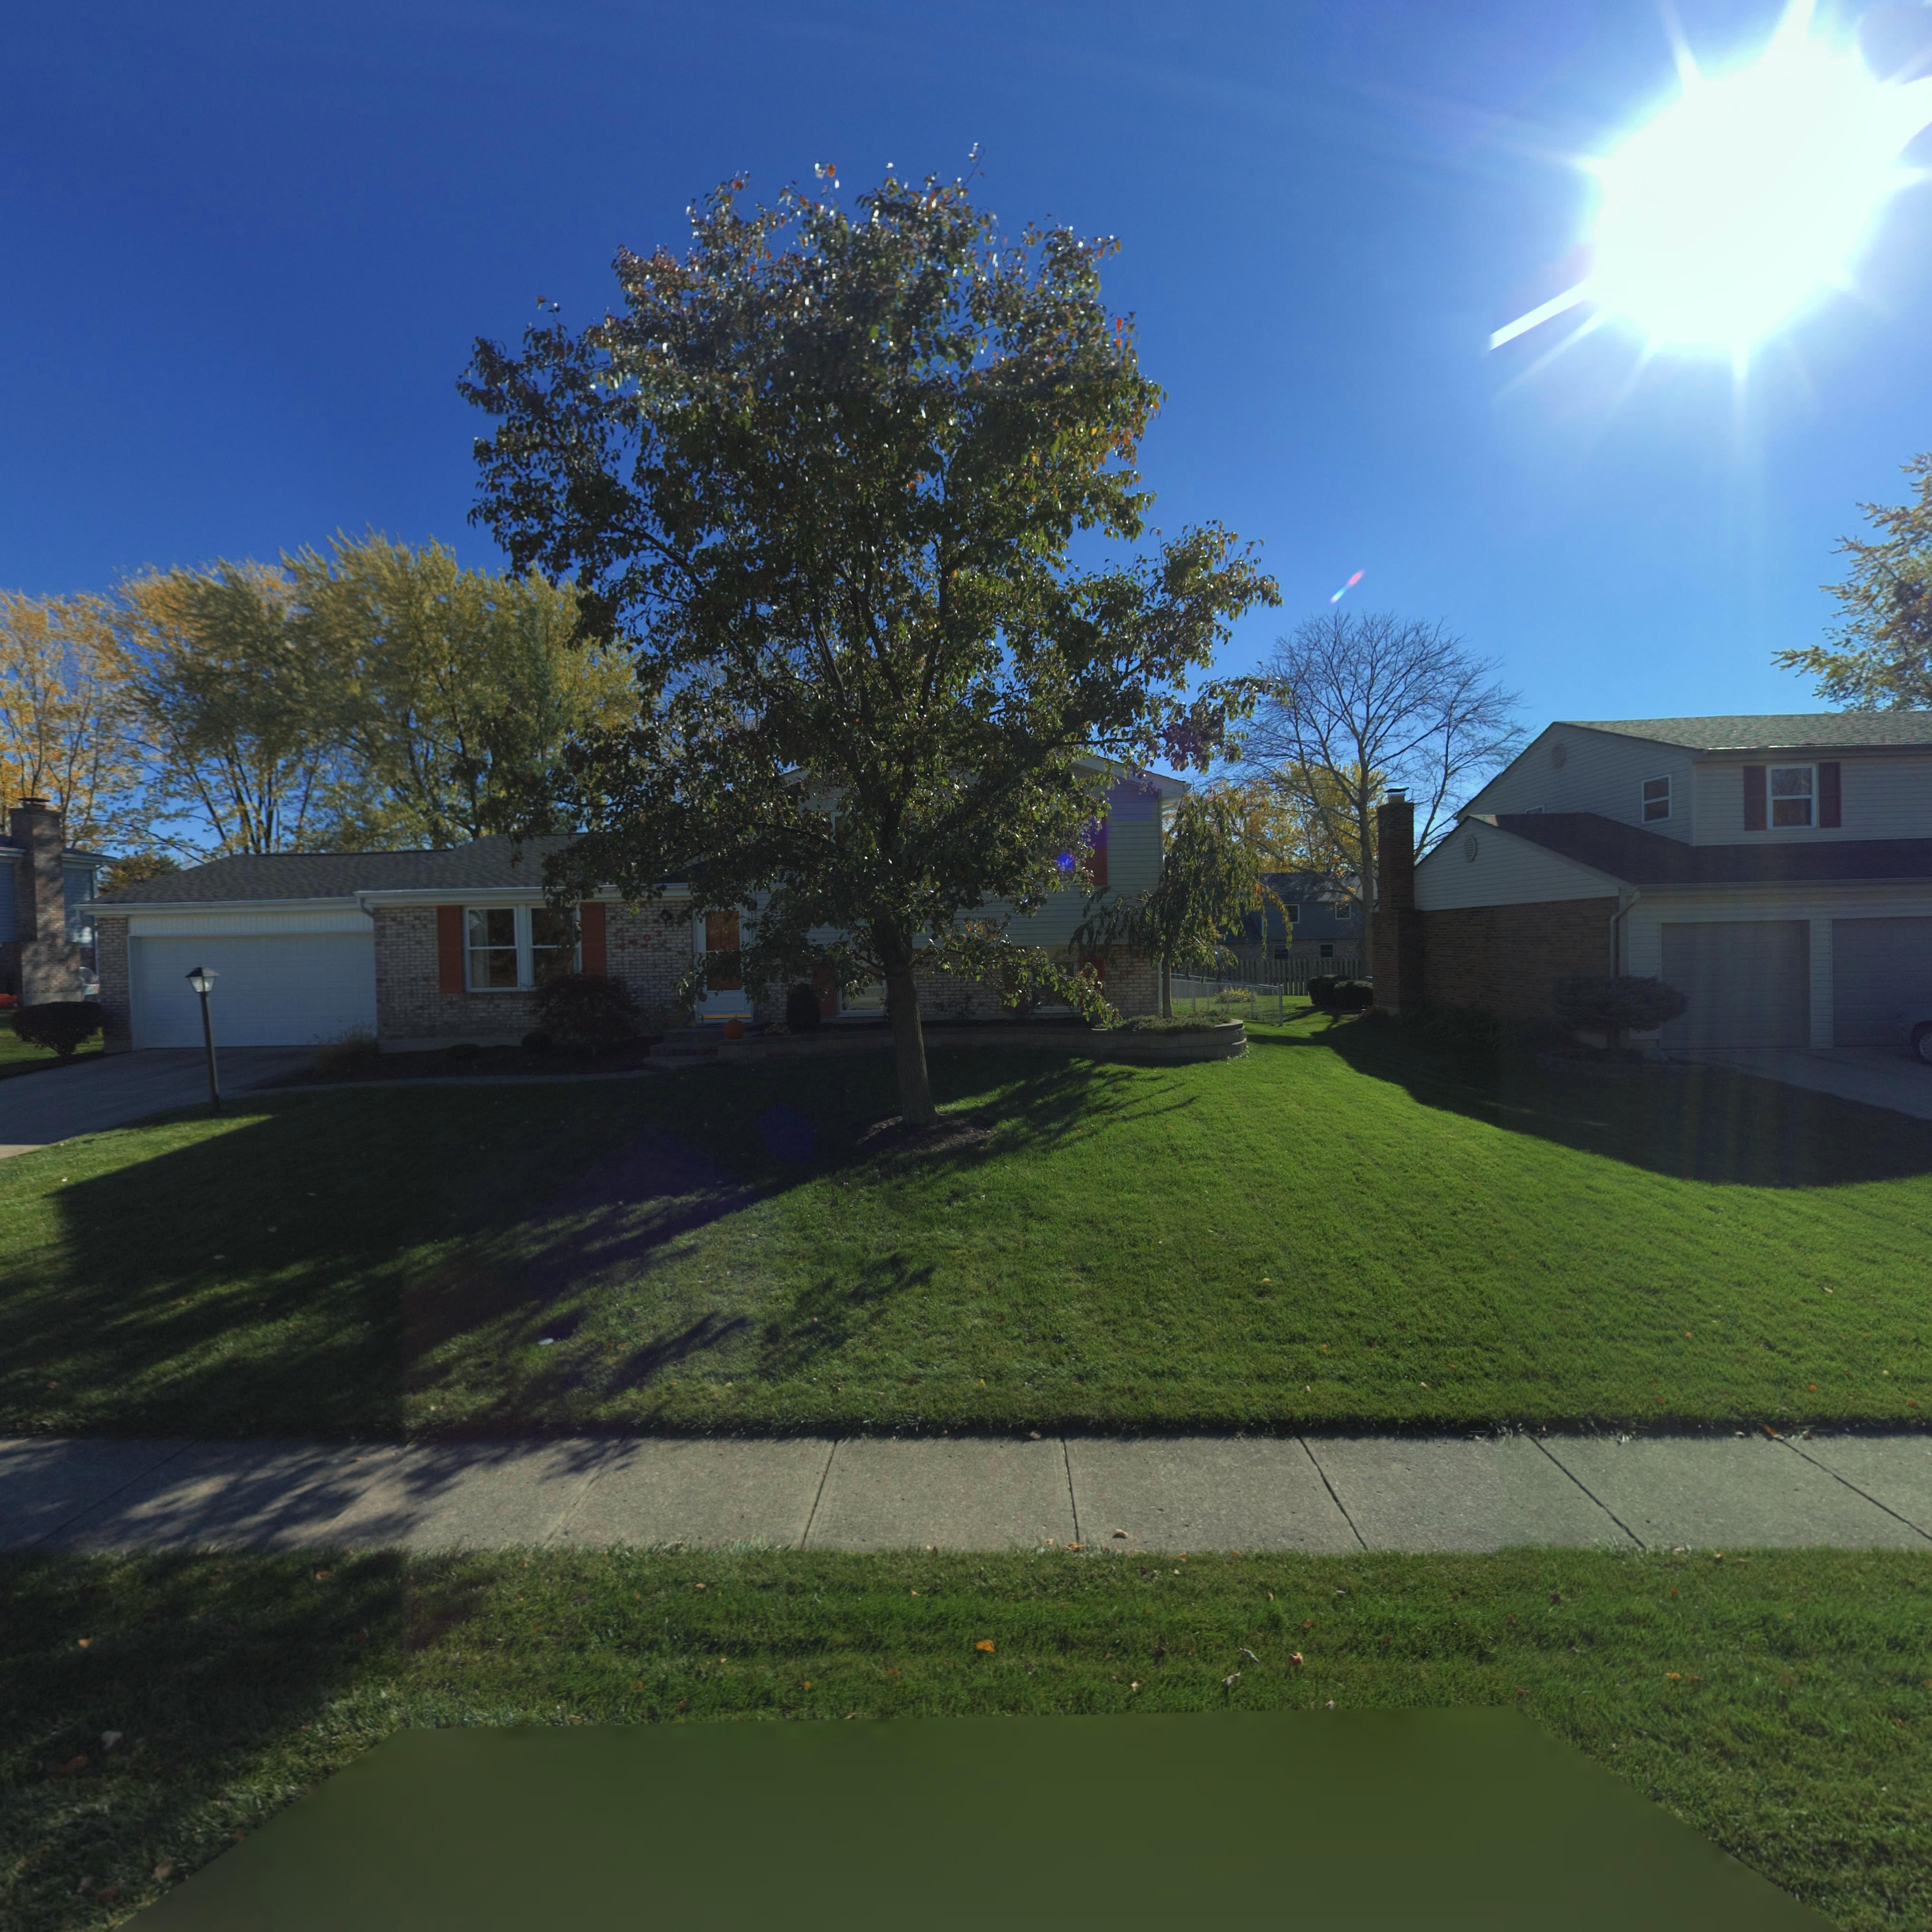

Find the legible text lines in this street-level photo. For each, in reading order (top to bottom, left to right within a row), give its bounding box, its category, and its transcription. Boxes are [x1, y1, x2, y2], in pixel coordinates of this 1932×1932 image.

[616, 927, 664, 954] StreetNumber: 4202